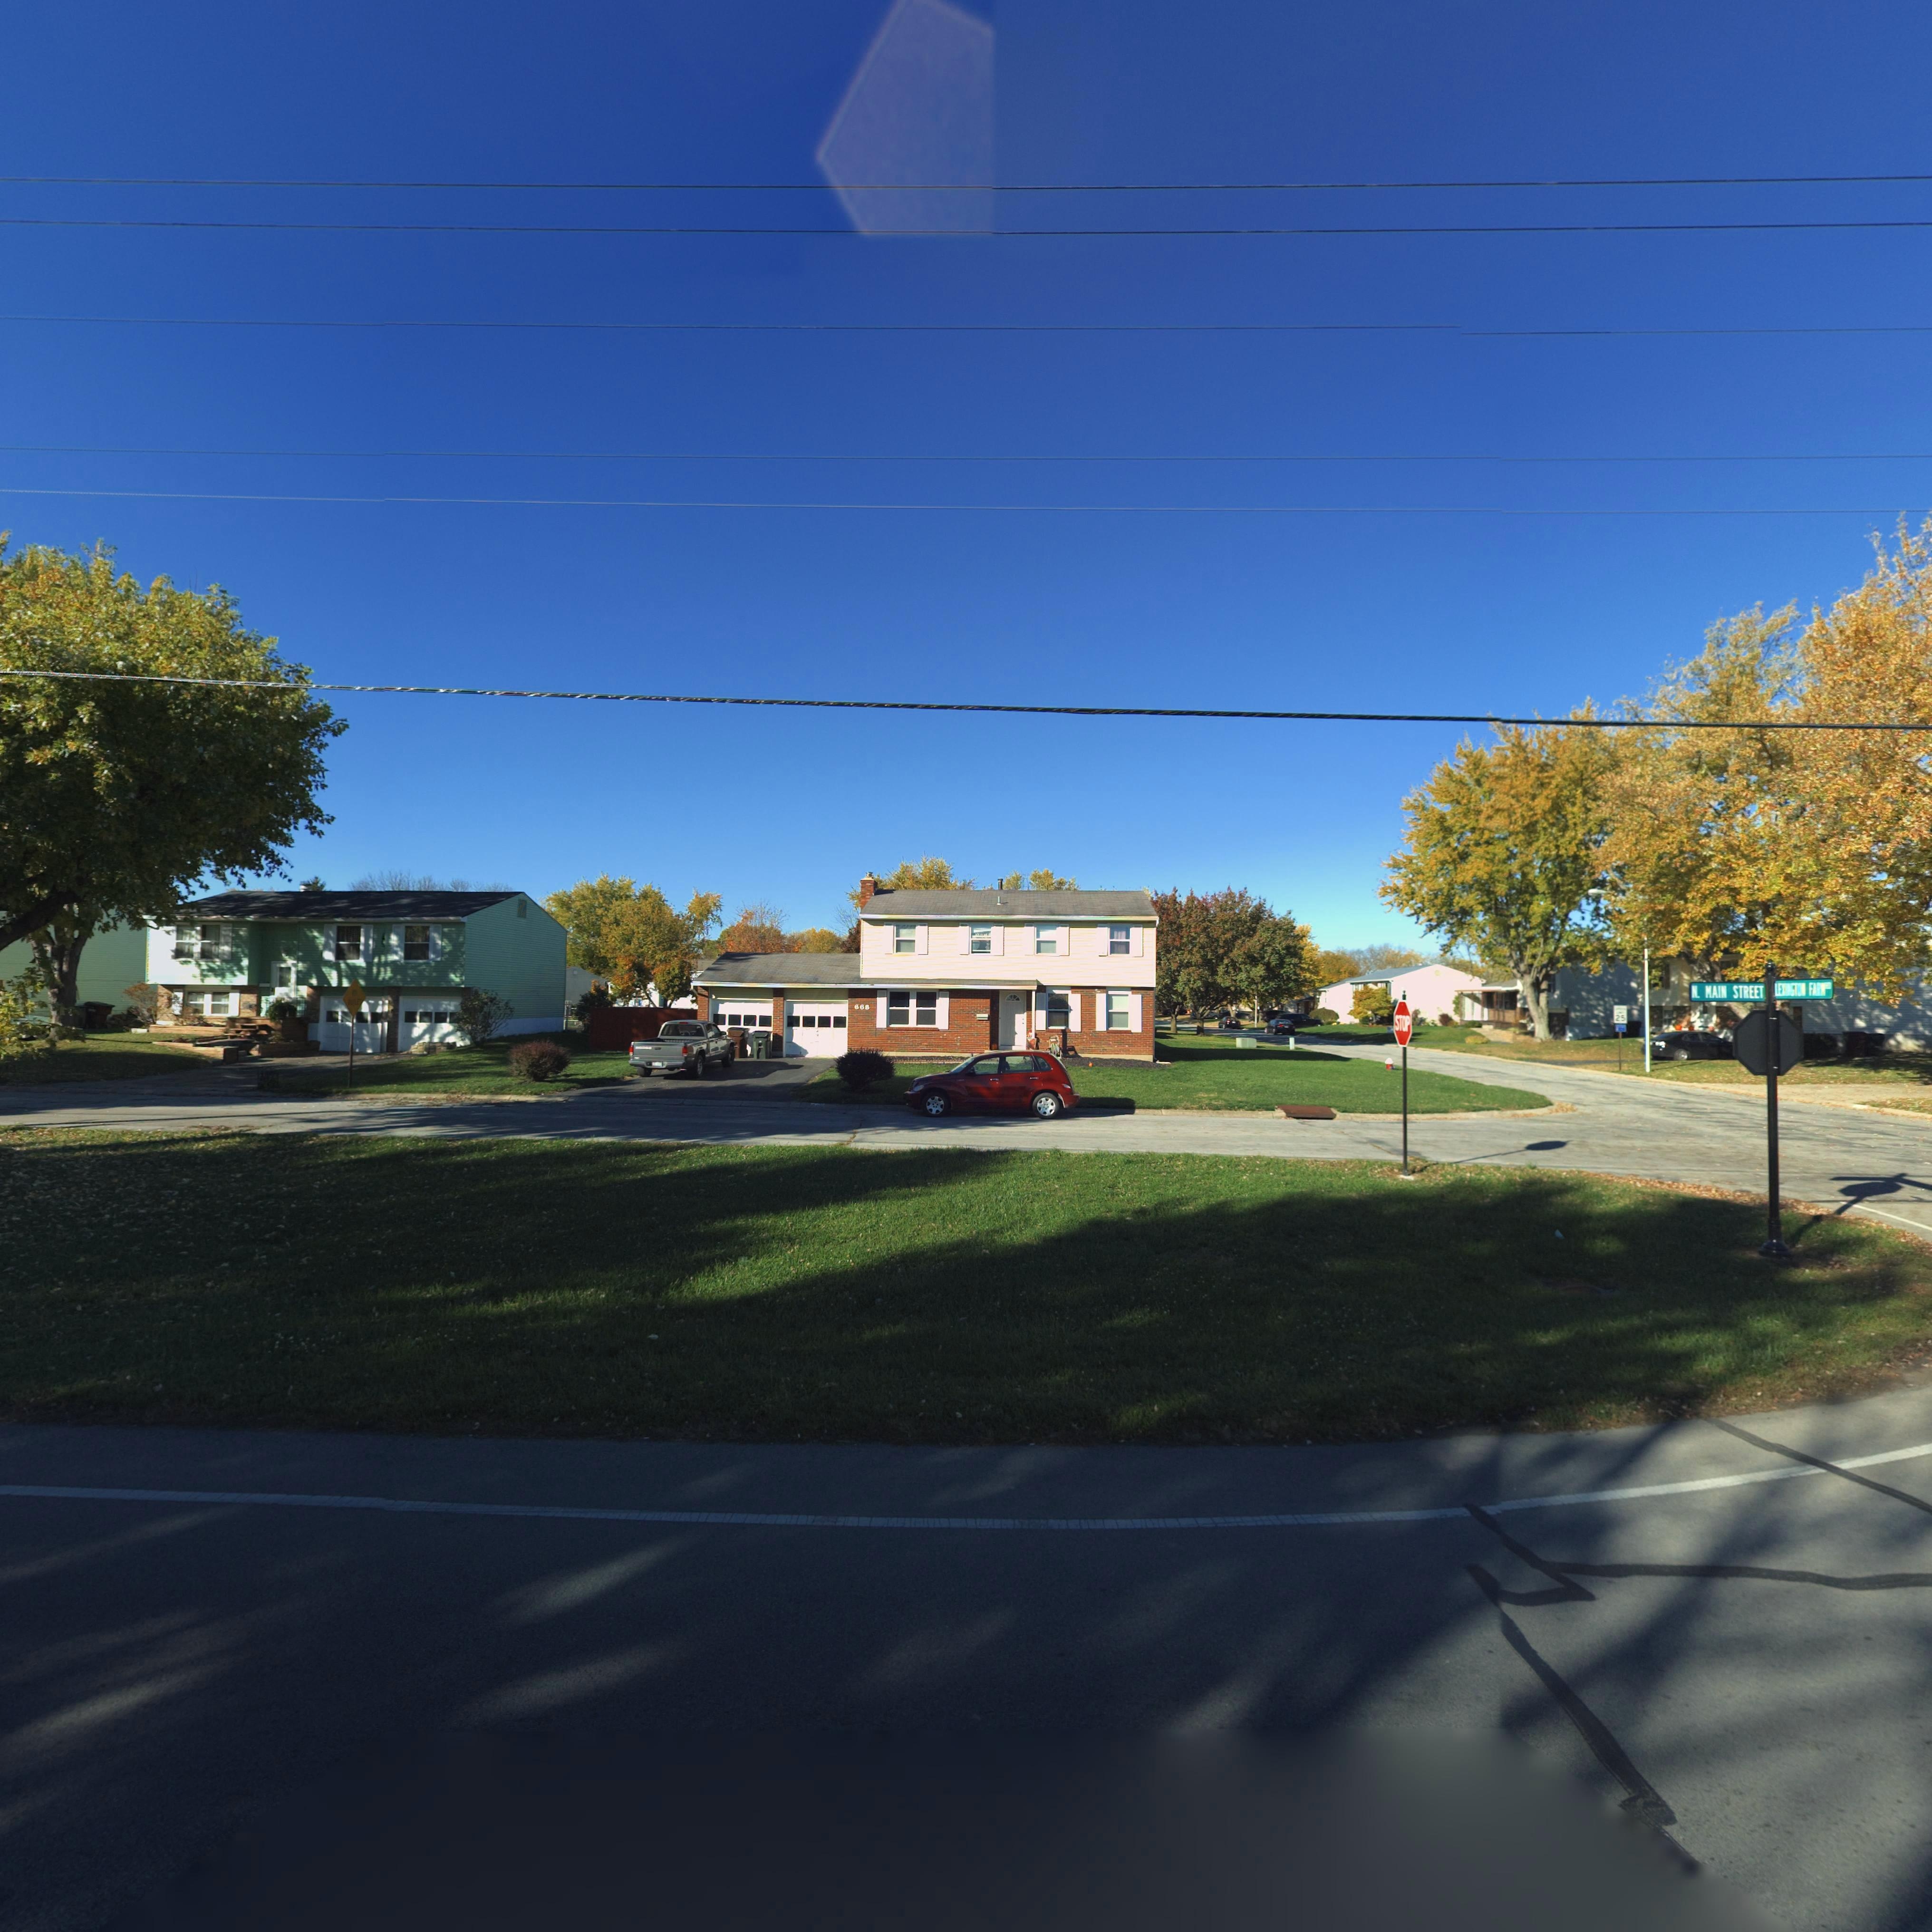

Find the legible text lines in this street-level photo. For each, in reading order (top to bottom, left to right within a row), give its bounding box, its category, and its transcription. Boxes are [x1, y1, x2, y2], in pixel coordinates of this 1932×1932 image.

[1690, 985, 1765, 1000] StreetName: N. MAIN STREET
[1775, 982, 1829, 997] StreetName: *E**ST** F***
[854, 1004, 870, 1010] StreetNumber: 668
[1395, 1014, 1410, 1033] None: STOP
[1615, 1014, 1625, 1022] None: 25